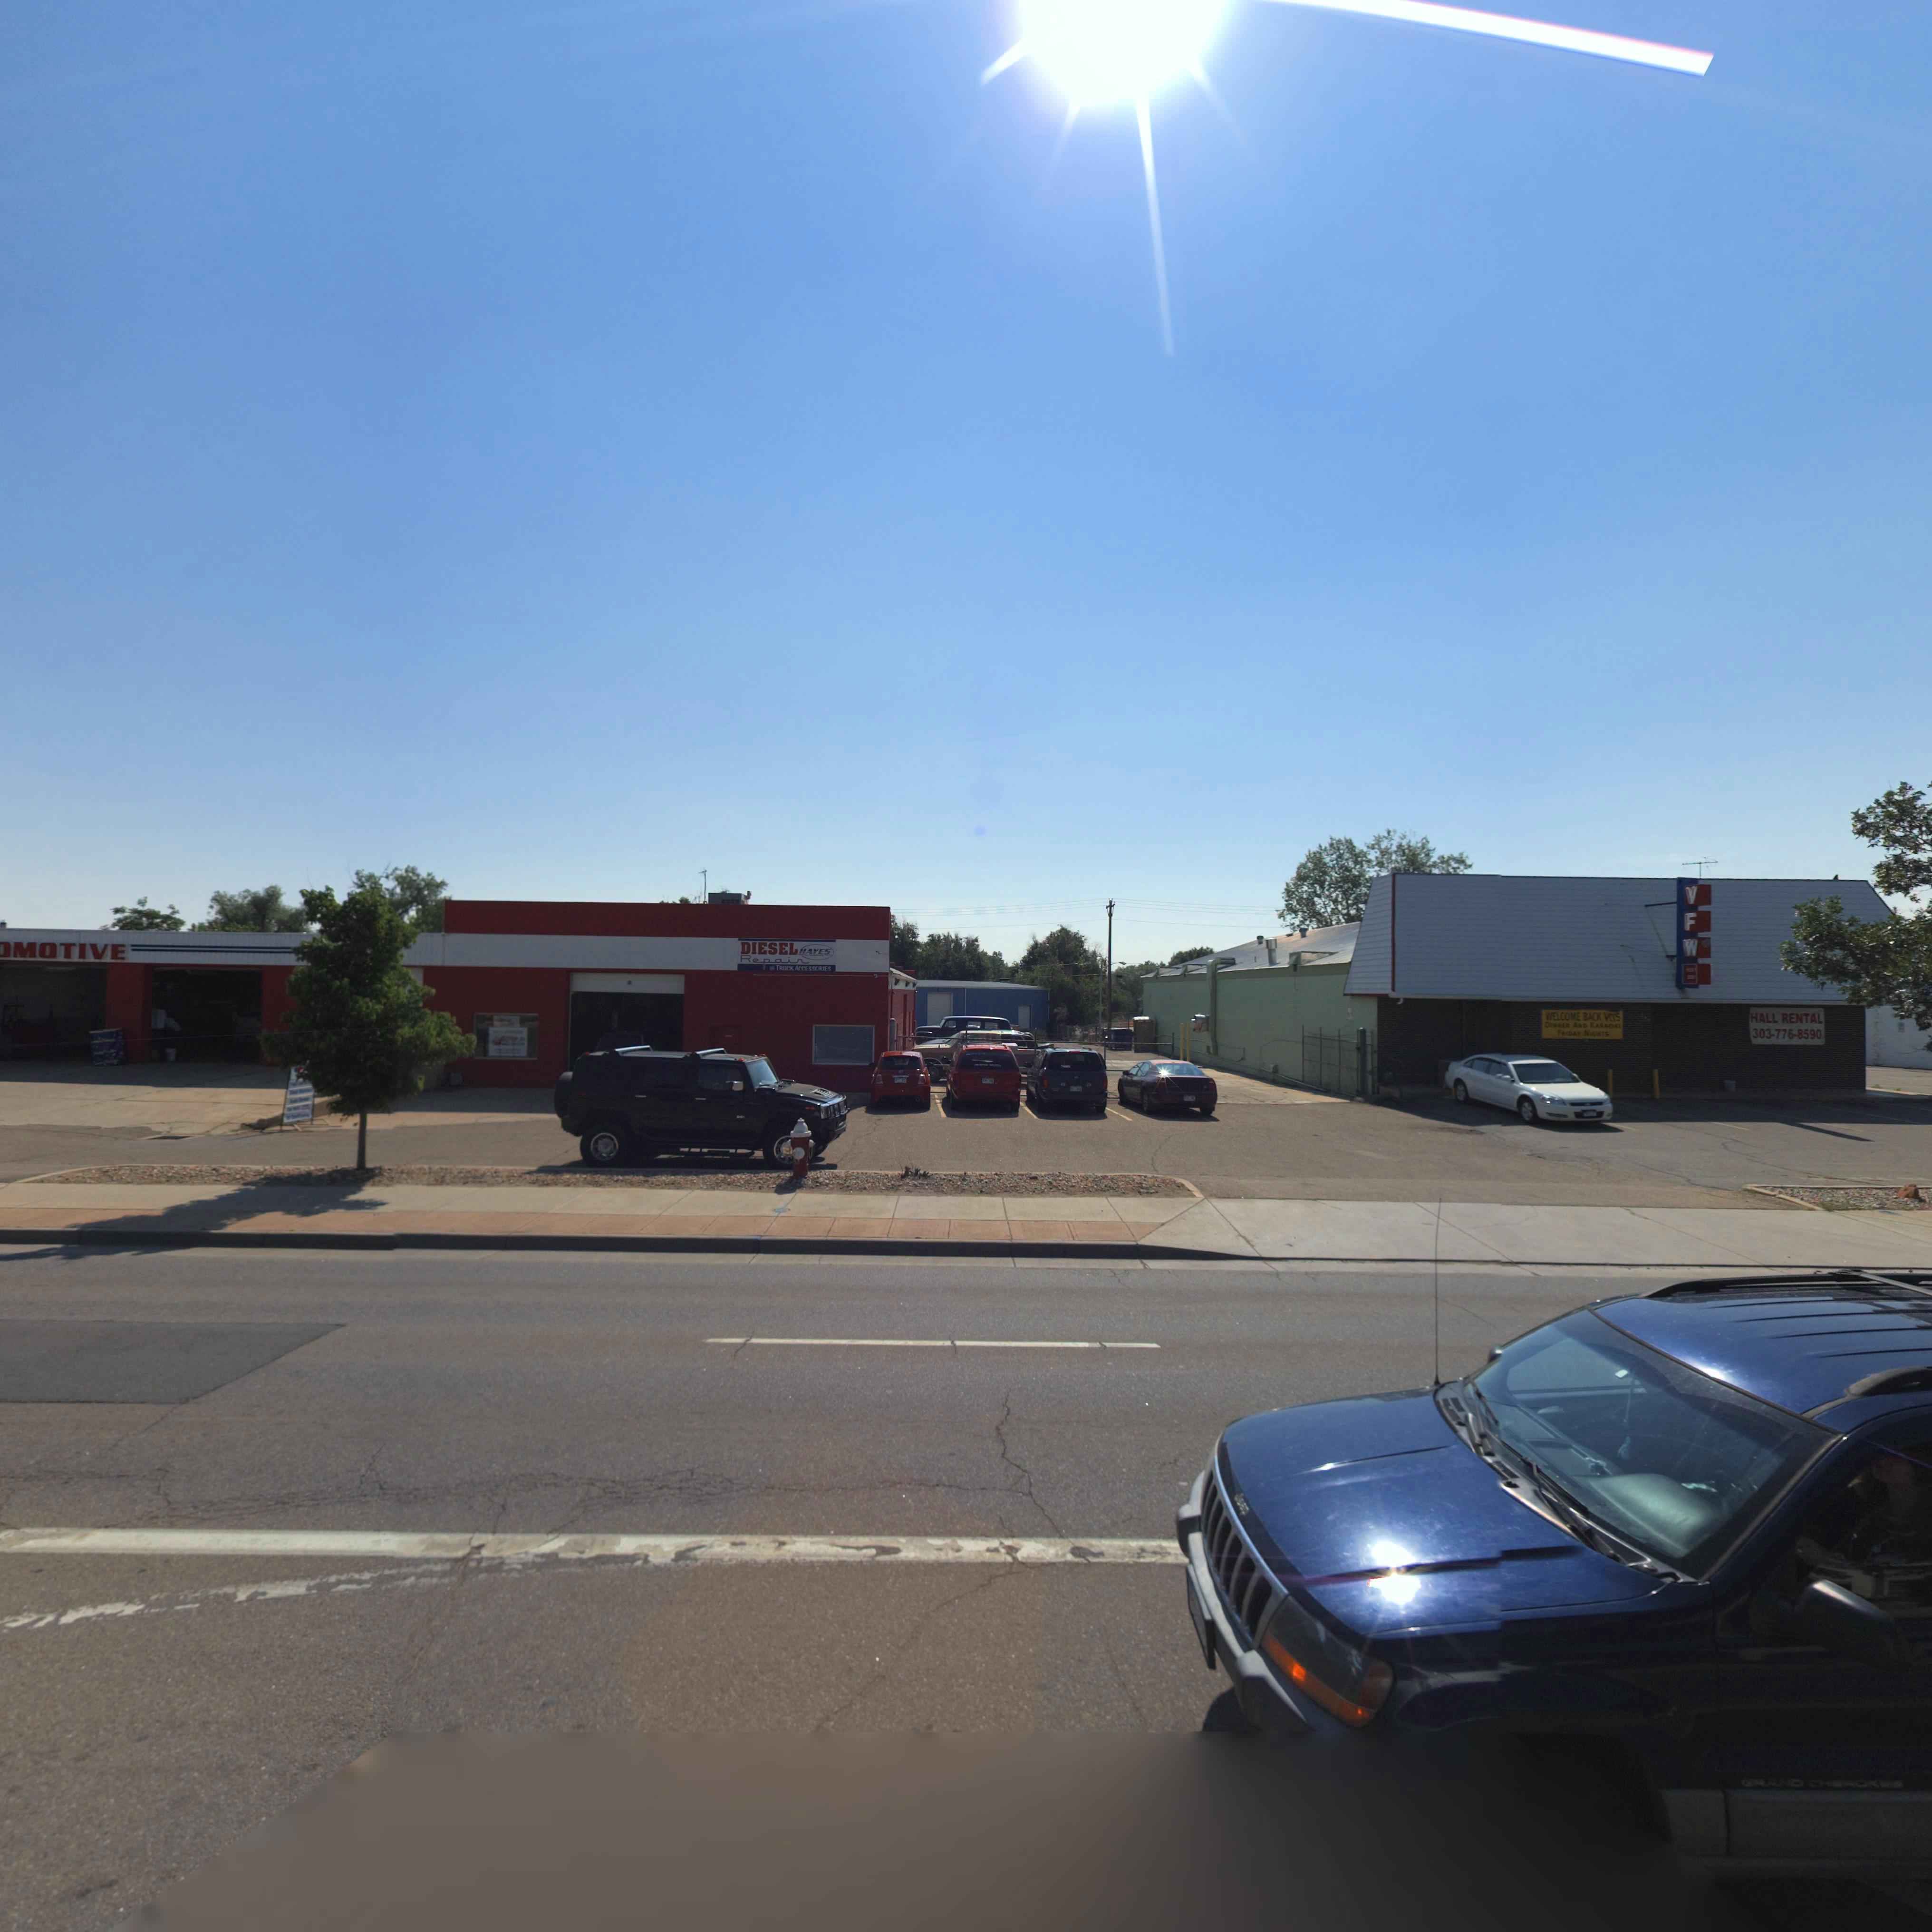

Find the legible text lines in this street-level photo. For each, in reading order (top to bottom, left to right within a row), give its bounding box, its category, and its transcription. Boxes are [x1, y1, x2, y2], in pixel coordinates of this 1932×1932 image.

[1682, 885, 1699, 956] BusinessName: VFW
[12, 941, 126, 960] BusinessName: MOTIVE
[1686, 967, 1696, 973] BusinessName: POST